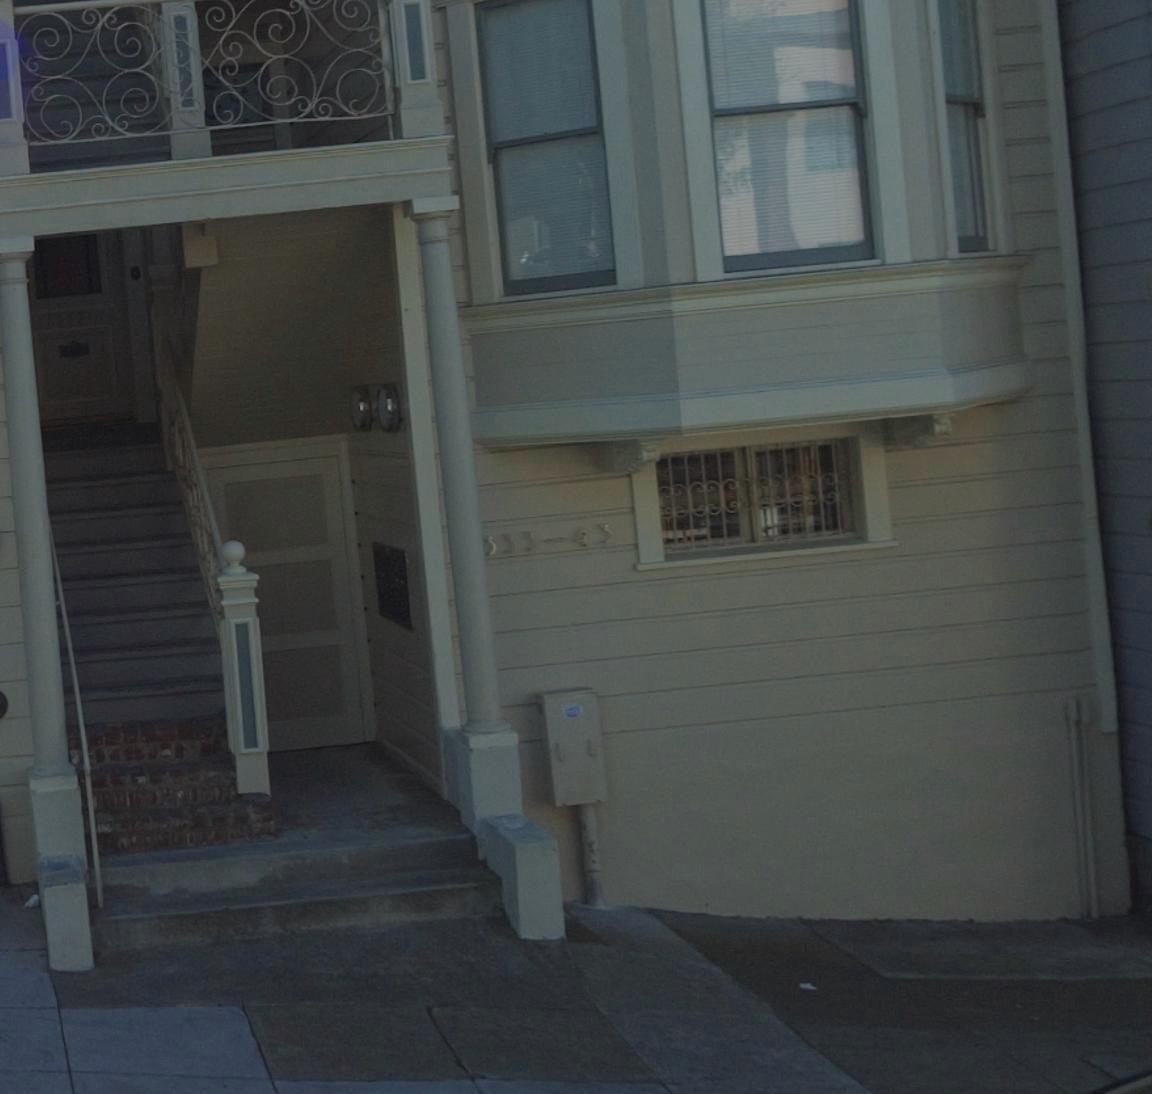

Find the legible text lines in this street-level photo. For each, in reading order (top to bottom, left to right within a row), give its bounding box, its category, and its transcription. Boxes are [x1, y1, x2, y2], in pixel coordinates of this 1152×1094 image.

[483, 531, 538, 558] StreetNumber: 533
[570, 523, 615, 548] StreetNumber: 43